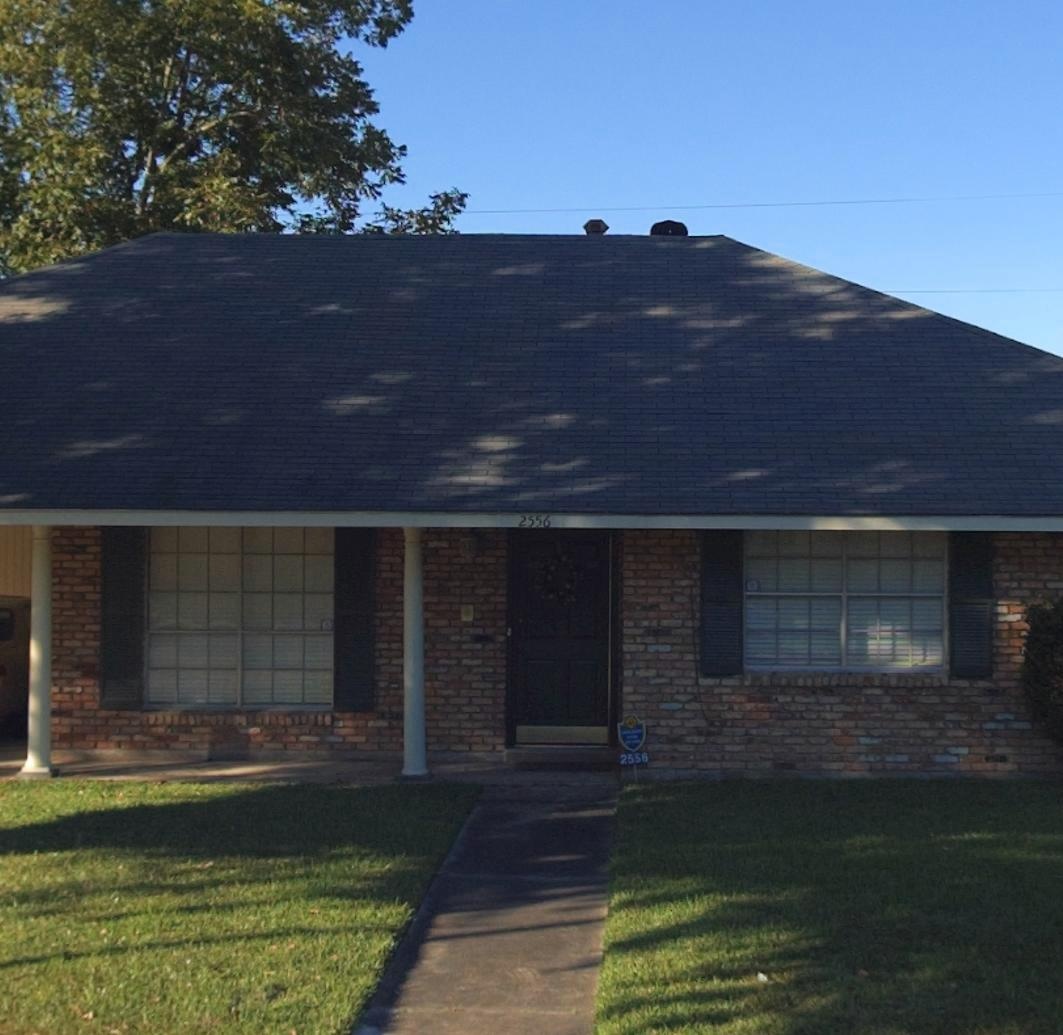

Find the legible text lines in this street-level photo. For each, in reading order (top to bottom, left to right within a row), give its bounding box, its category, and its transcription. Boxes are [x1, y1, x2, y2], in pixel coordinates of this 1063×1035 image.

[518, 513, 552, 527] StreetNumber: 2556
[619, 751, 649, 765] StreetNumber: 2556